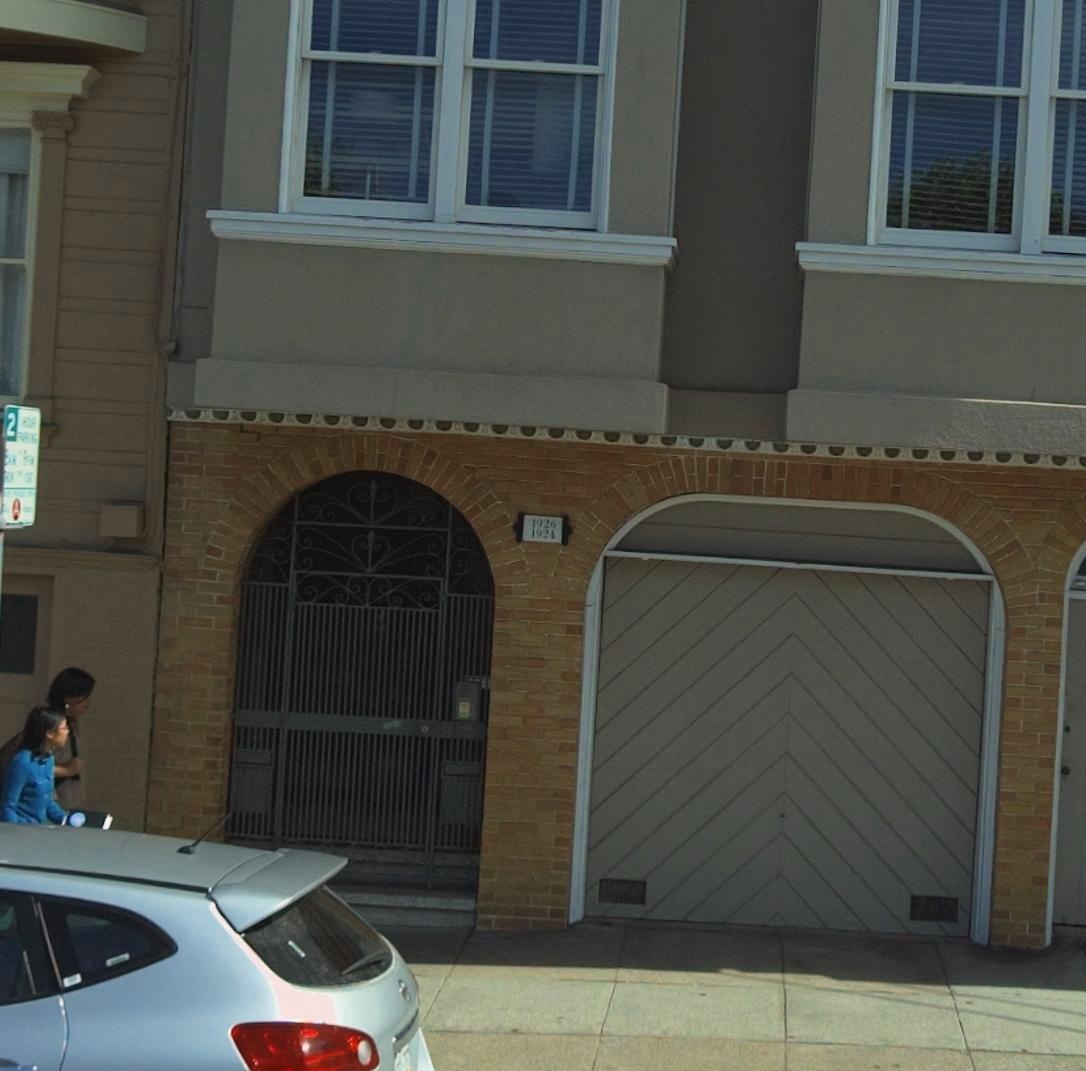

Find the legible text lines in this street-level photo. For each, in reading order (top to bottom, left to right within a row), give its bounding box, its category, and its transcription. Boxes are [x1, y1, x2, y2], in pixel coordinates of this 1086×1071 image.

[5, 410, 17, 439] None: 2
[531, 517, 558, 529] StreetNumber: 1926
[529, 527, 557, 541] StreetNumber: 1924